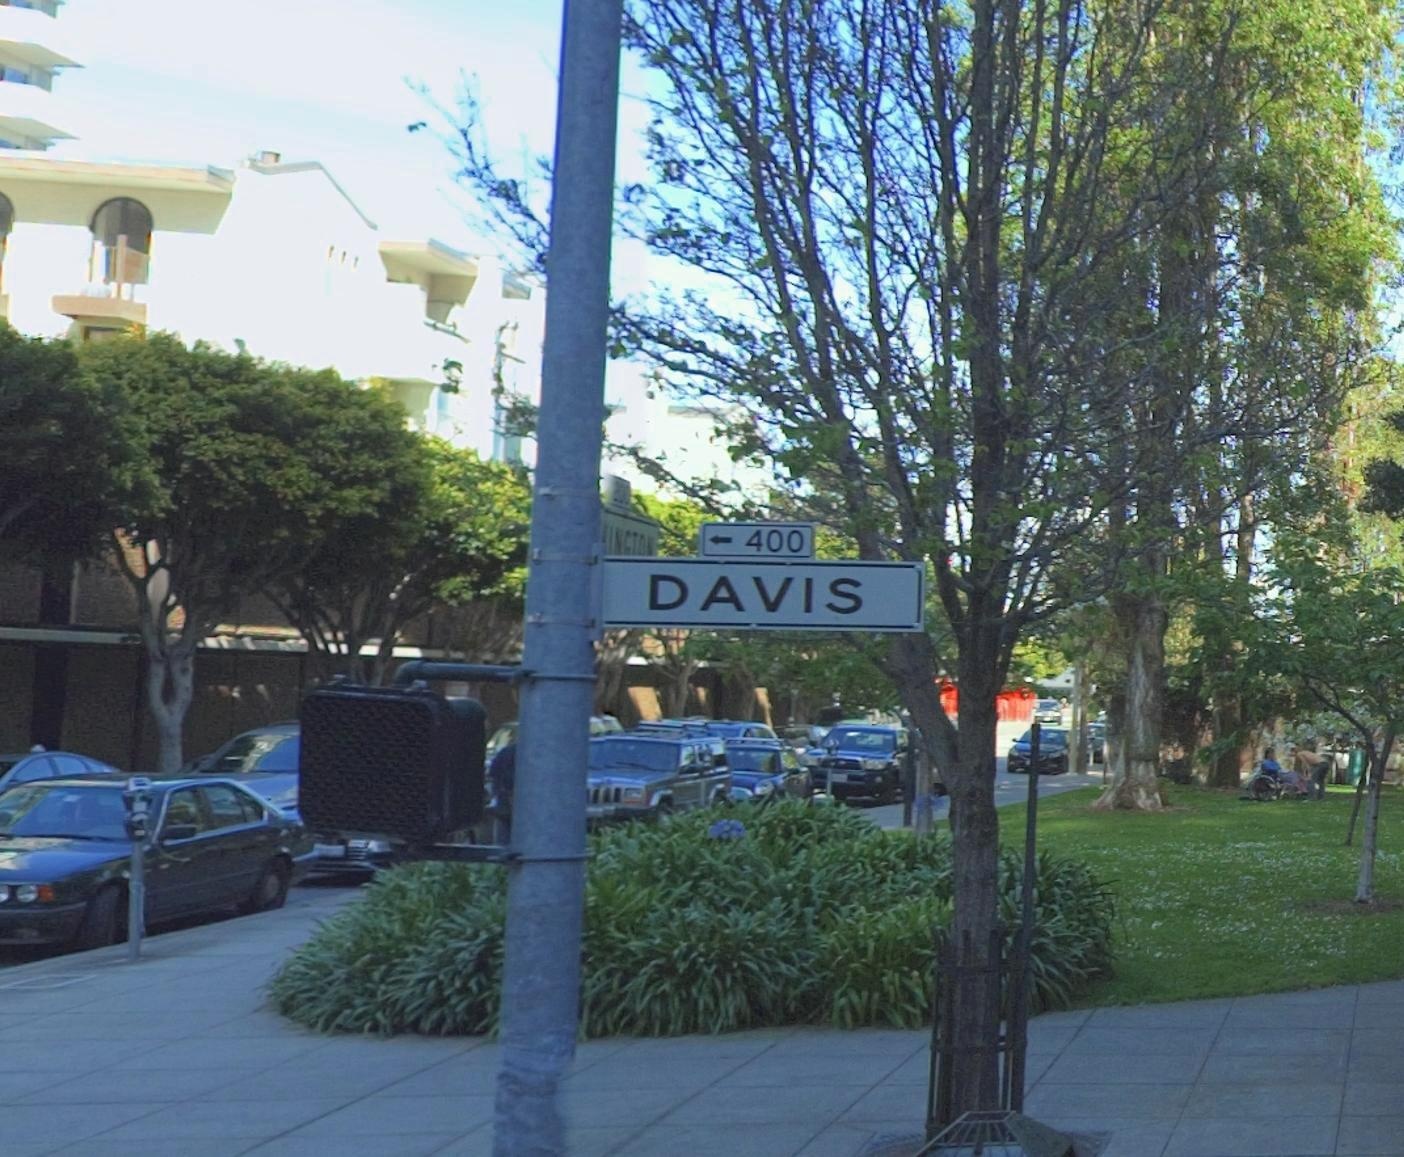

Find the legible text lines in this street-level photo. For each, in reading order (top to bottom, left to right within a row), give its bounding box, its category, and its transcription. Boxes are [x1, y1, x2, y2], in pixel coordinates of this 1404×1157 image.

[704, 526, 807, 556] StreetNumberRange: <-400
[645, 570, 866, 617] StreetName: DAVIS